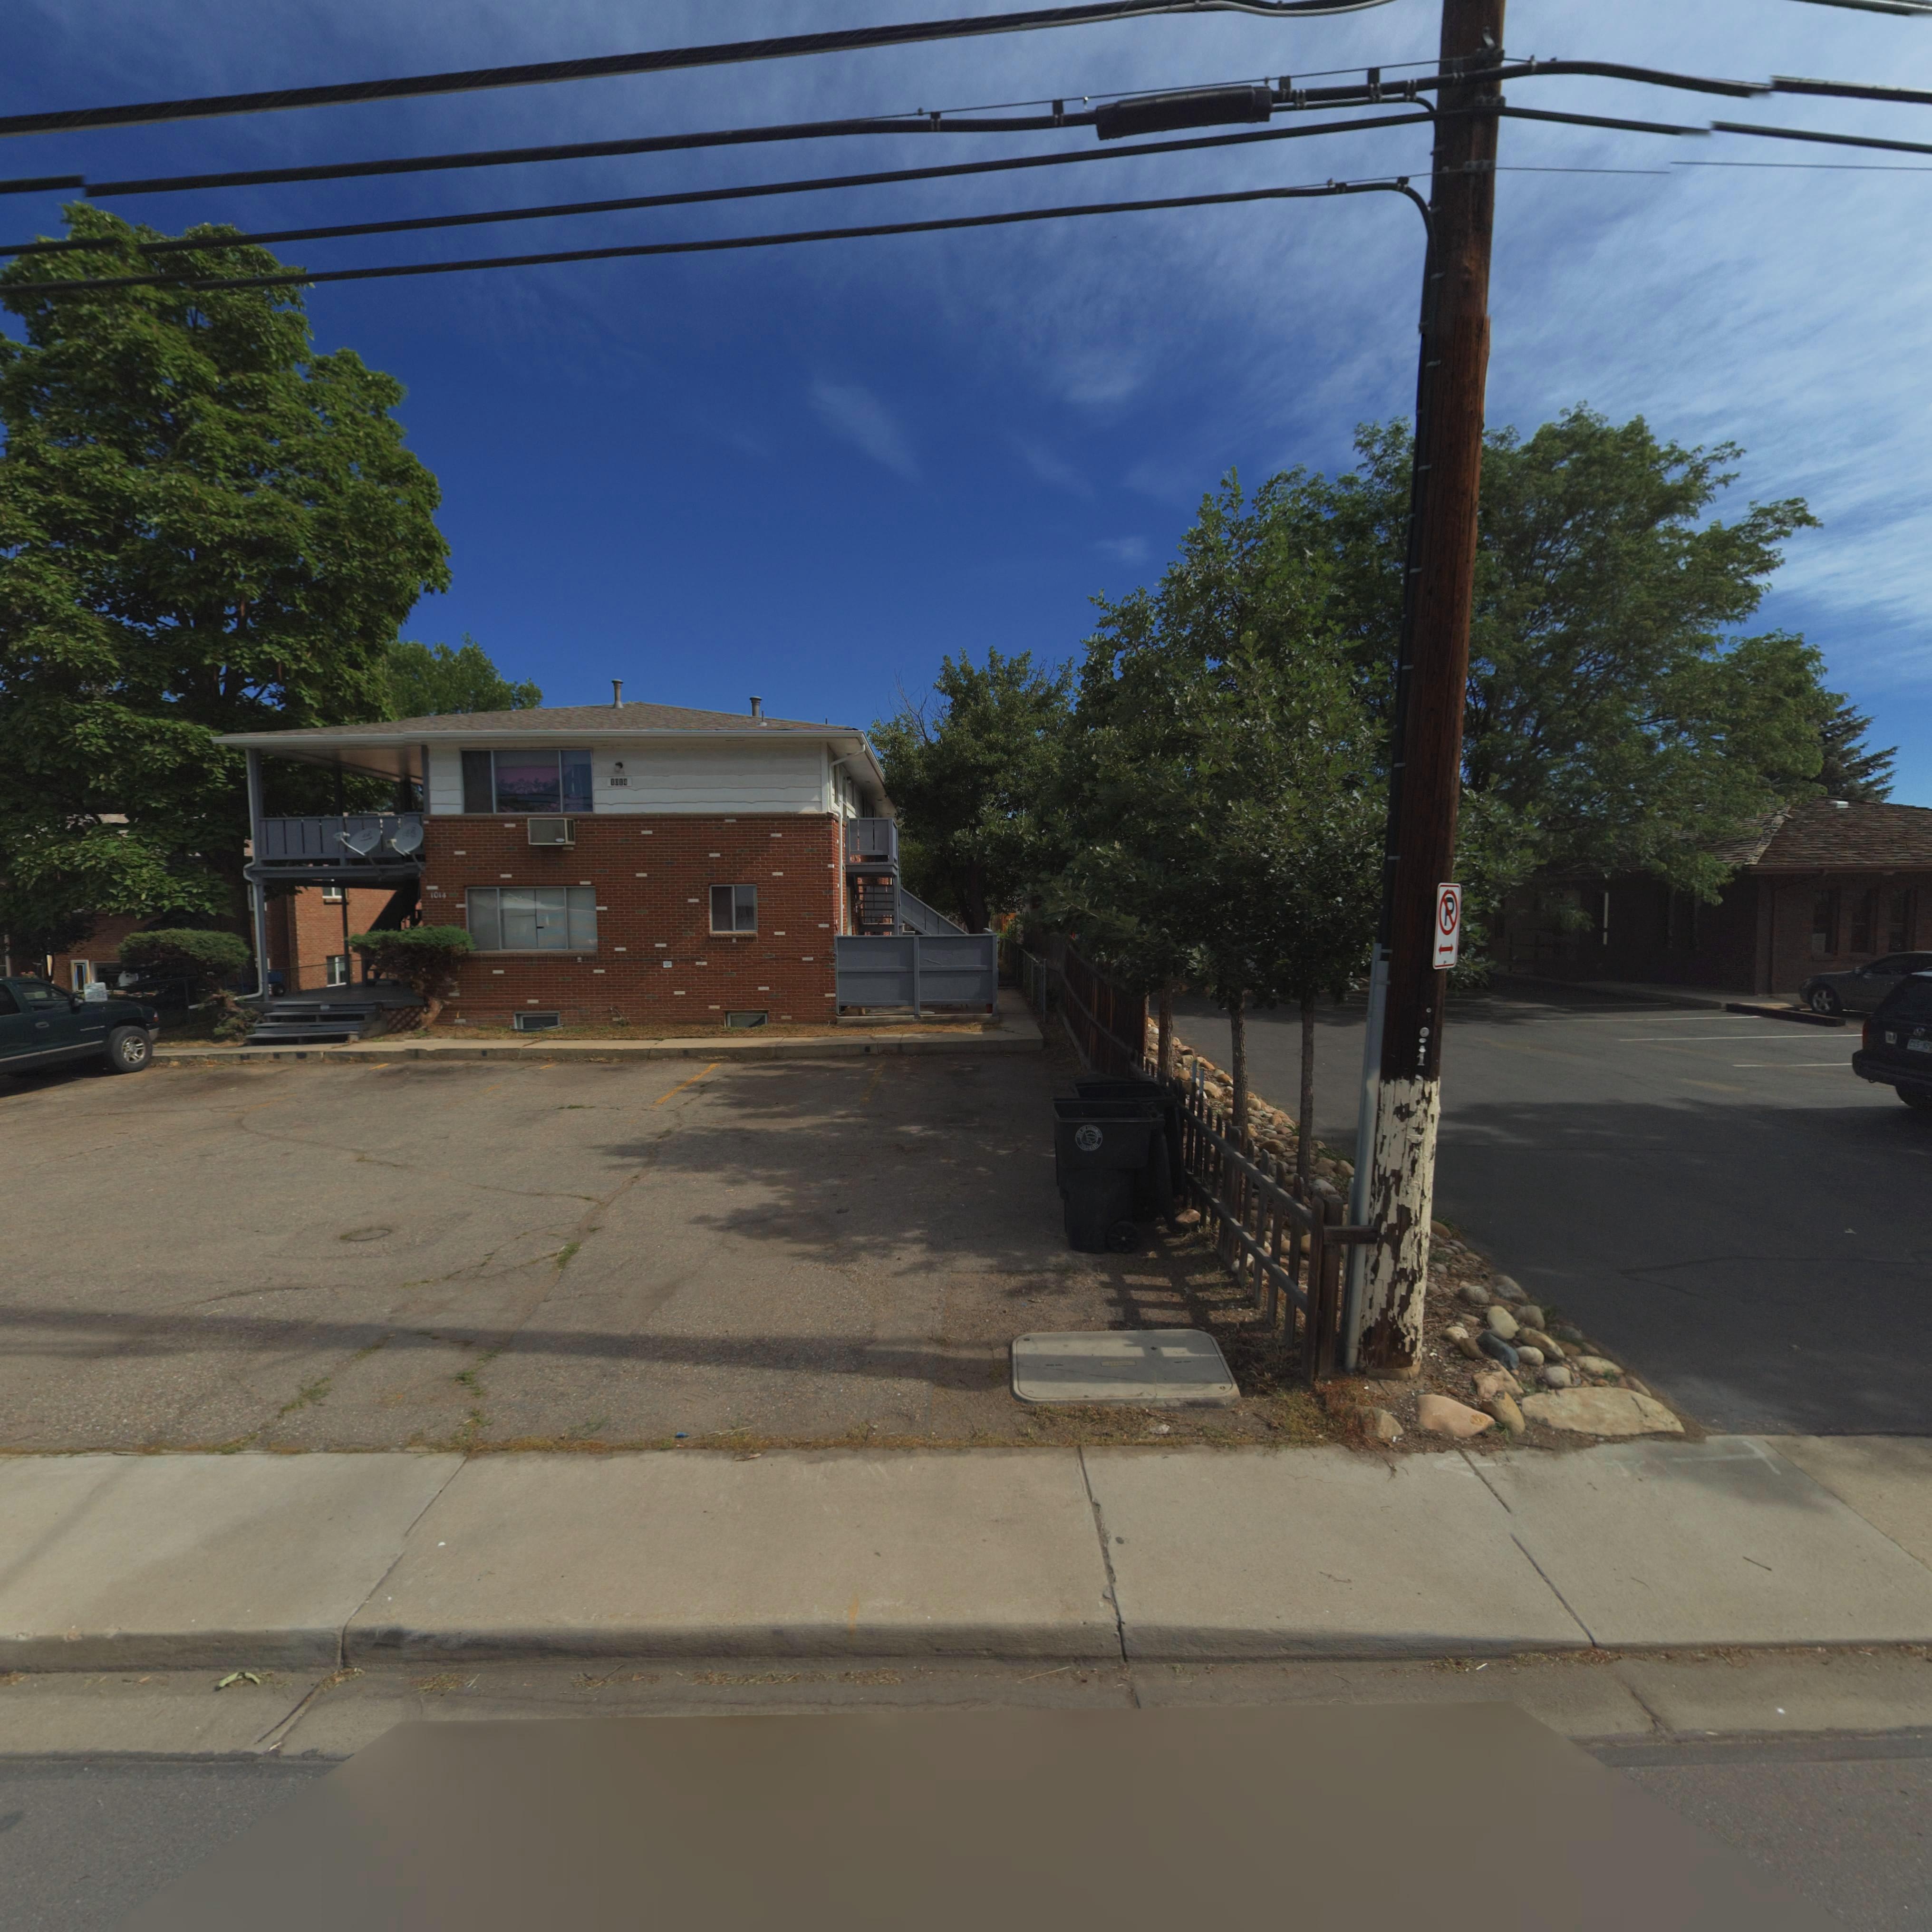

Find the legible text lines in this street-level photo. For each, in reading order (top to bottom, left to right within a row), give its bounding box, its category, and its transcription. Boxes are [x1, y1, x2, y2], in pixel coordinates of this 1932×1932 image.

[610, 779, 627, 785] StreetNumber: 1*14
[430, 891, 446, 899] StreetNumber: 1014